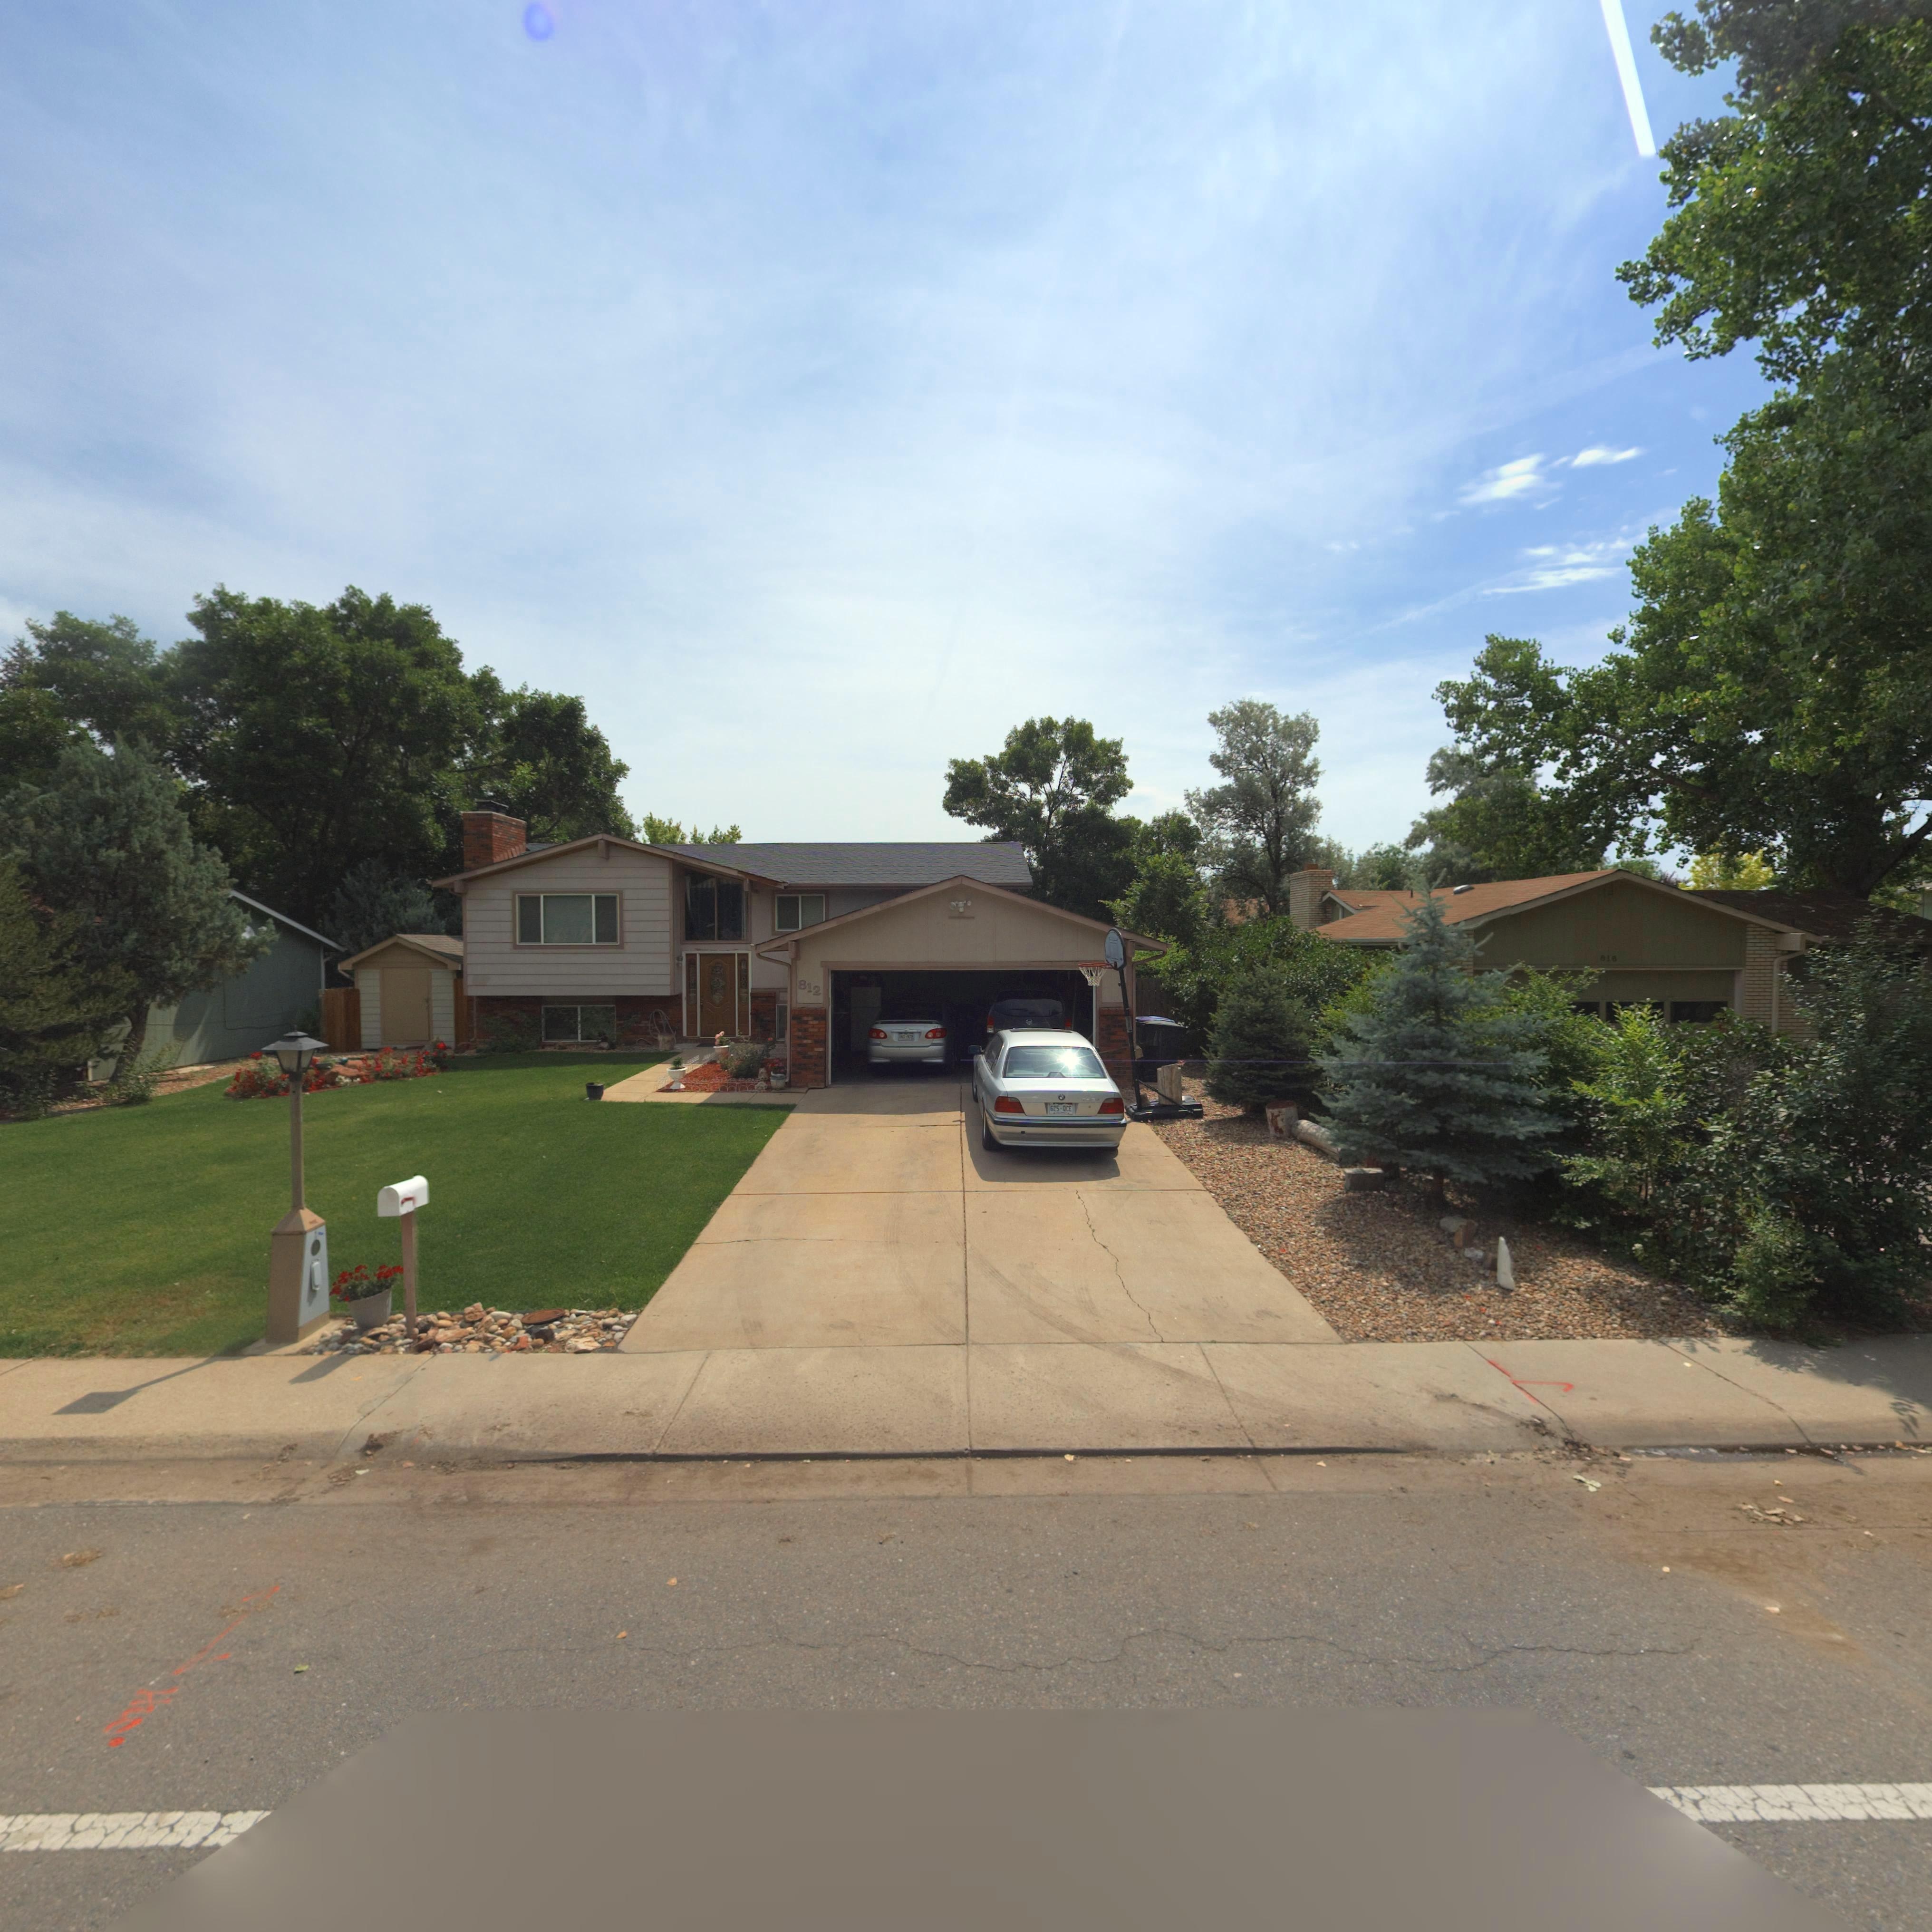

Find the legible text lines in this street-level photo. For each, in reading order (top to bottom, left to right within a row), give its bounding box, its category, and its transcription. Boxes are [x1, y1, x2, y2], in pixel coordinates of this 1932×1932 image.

[1600, 955, 1617, 962] StreetNumber: 818
[797, 979, 821, 995] StreetNumber: 812